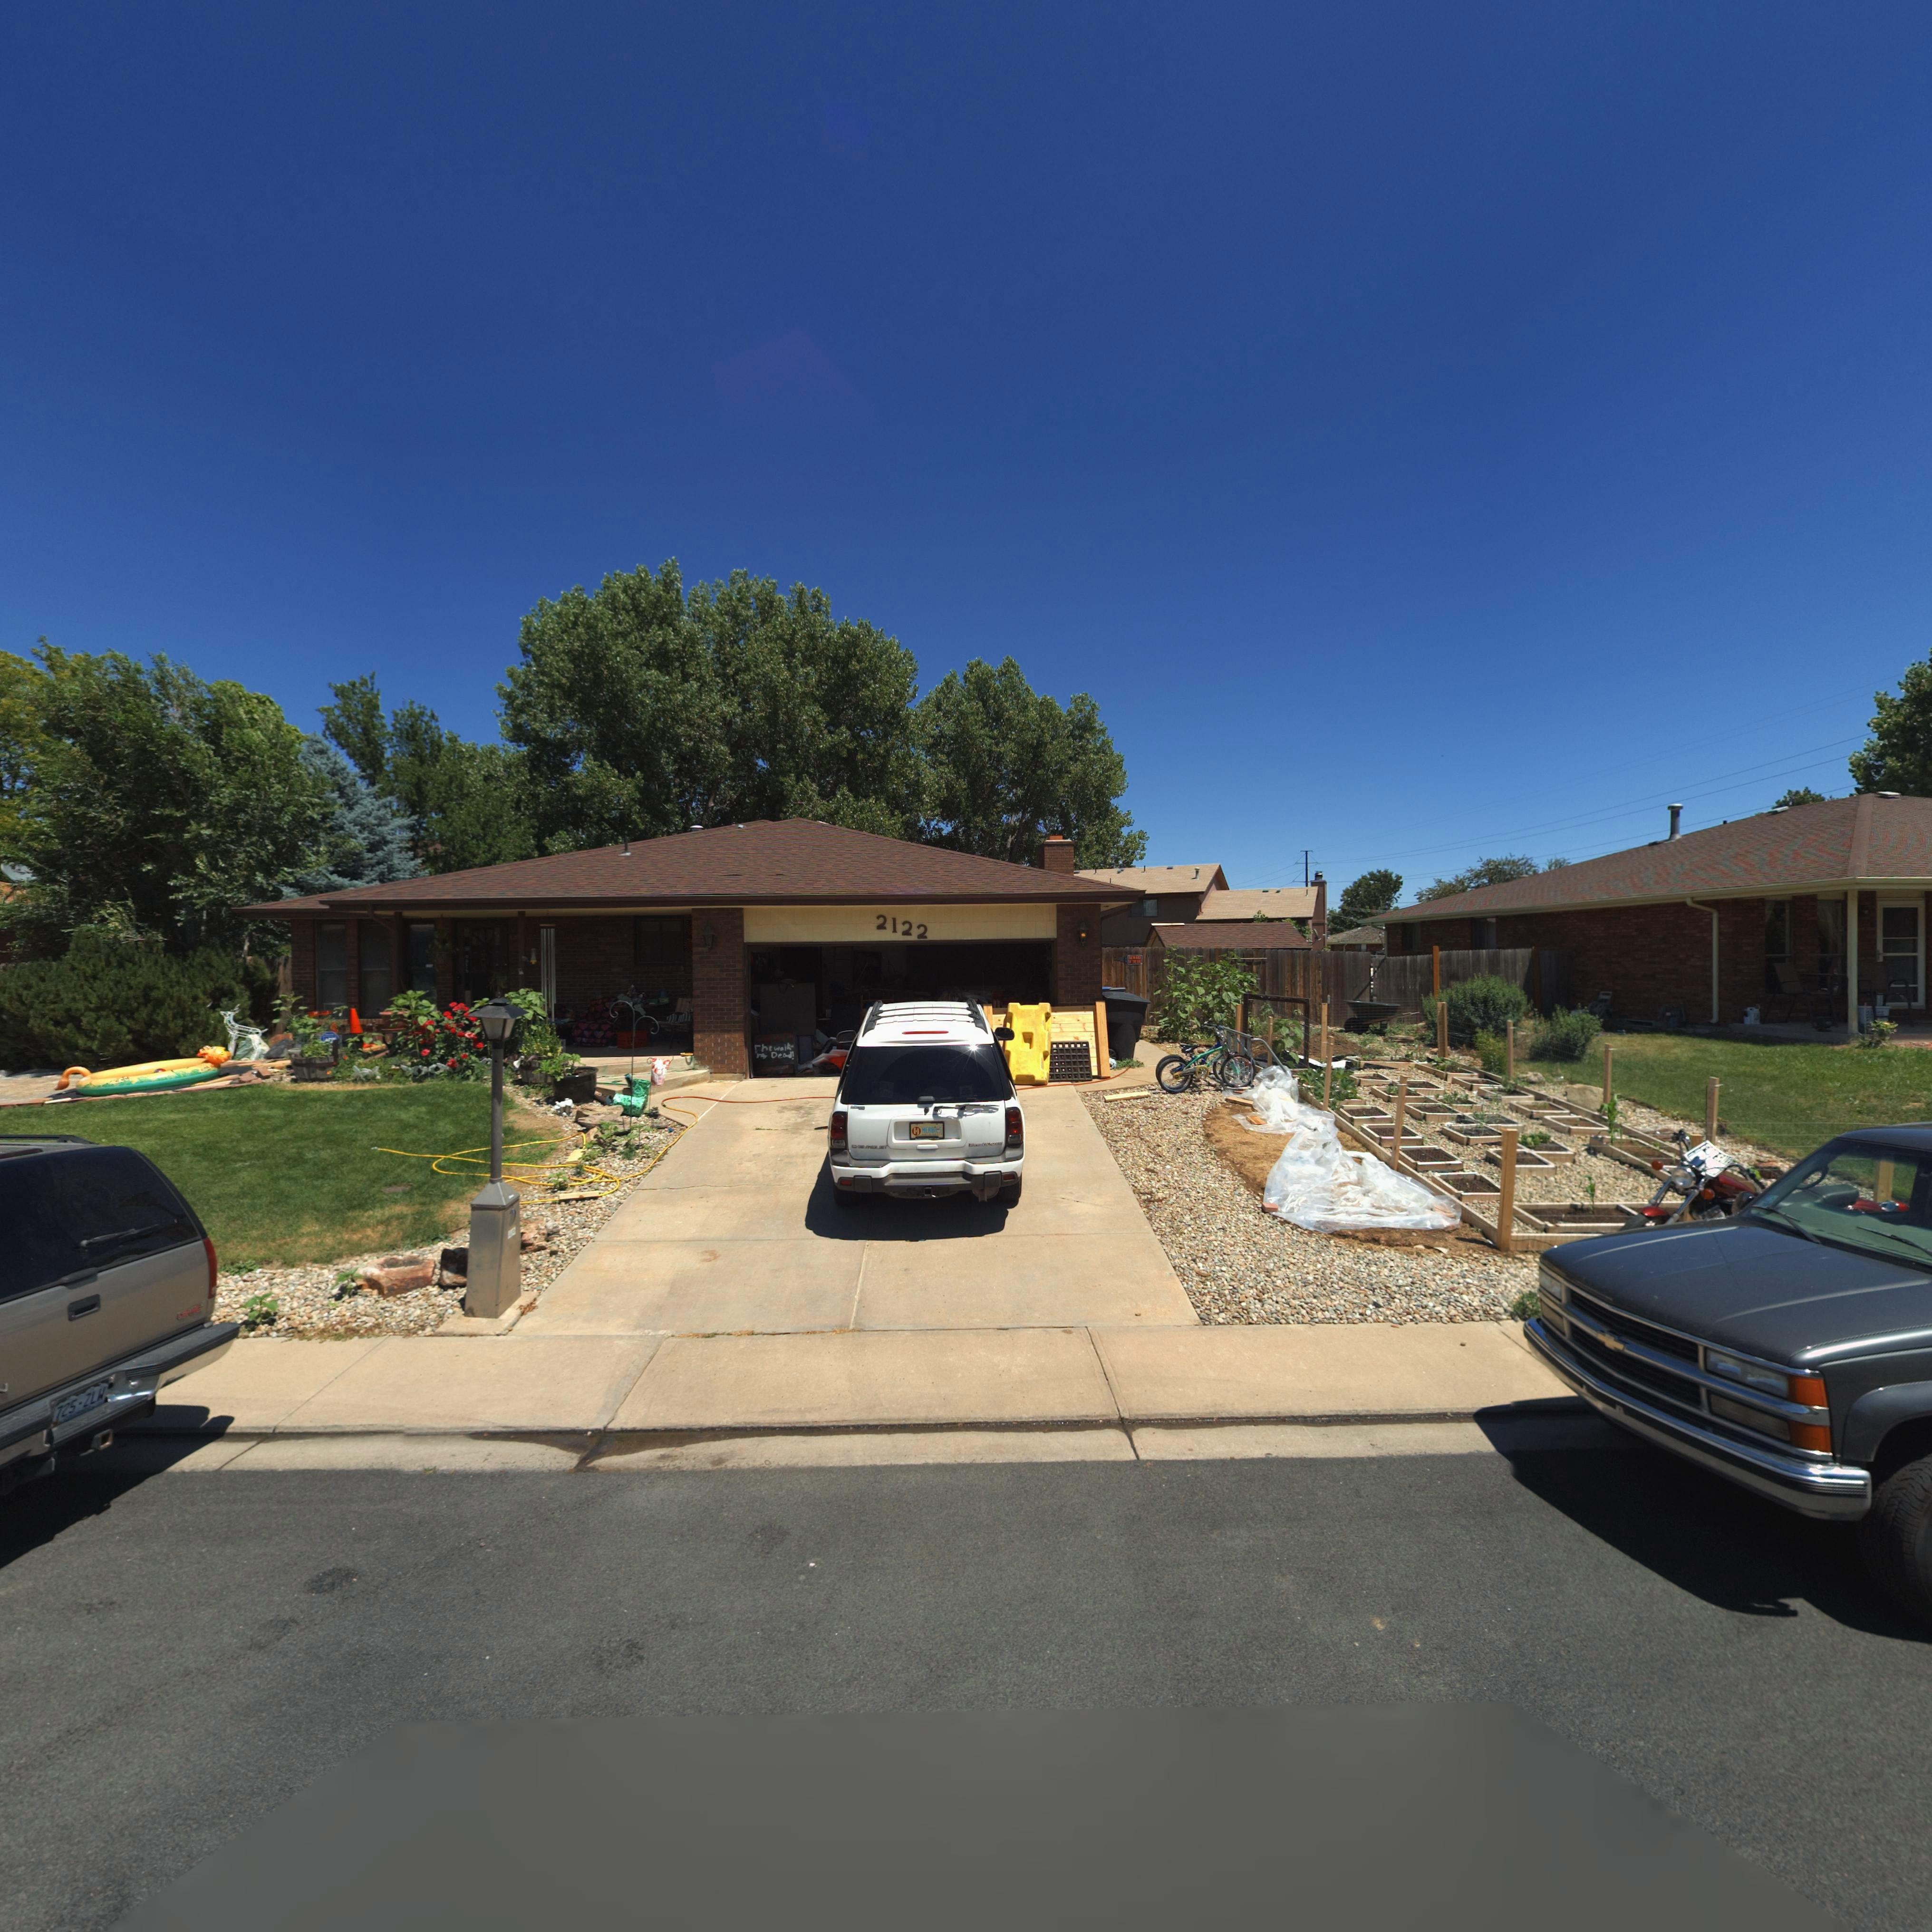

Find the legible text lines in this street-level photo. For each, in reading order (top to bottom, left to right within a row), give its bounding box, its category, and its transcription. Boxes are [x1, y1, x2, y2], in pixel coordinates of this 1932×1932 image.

[876, 913, 928, 939] StreetNumber: 2122